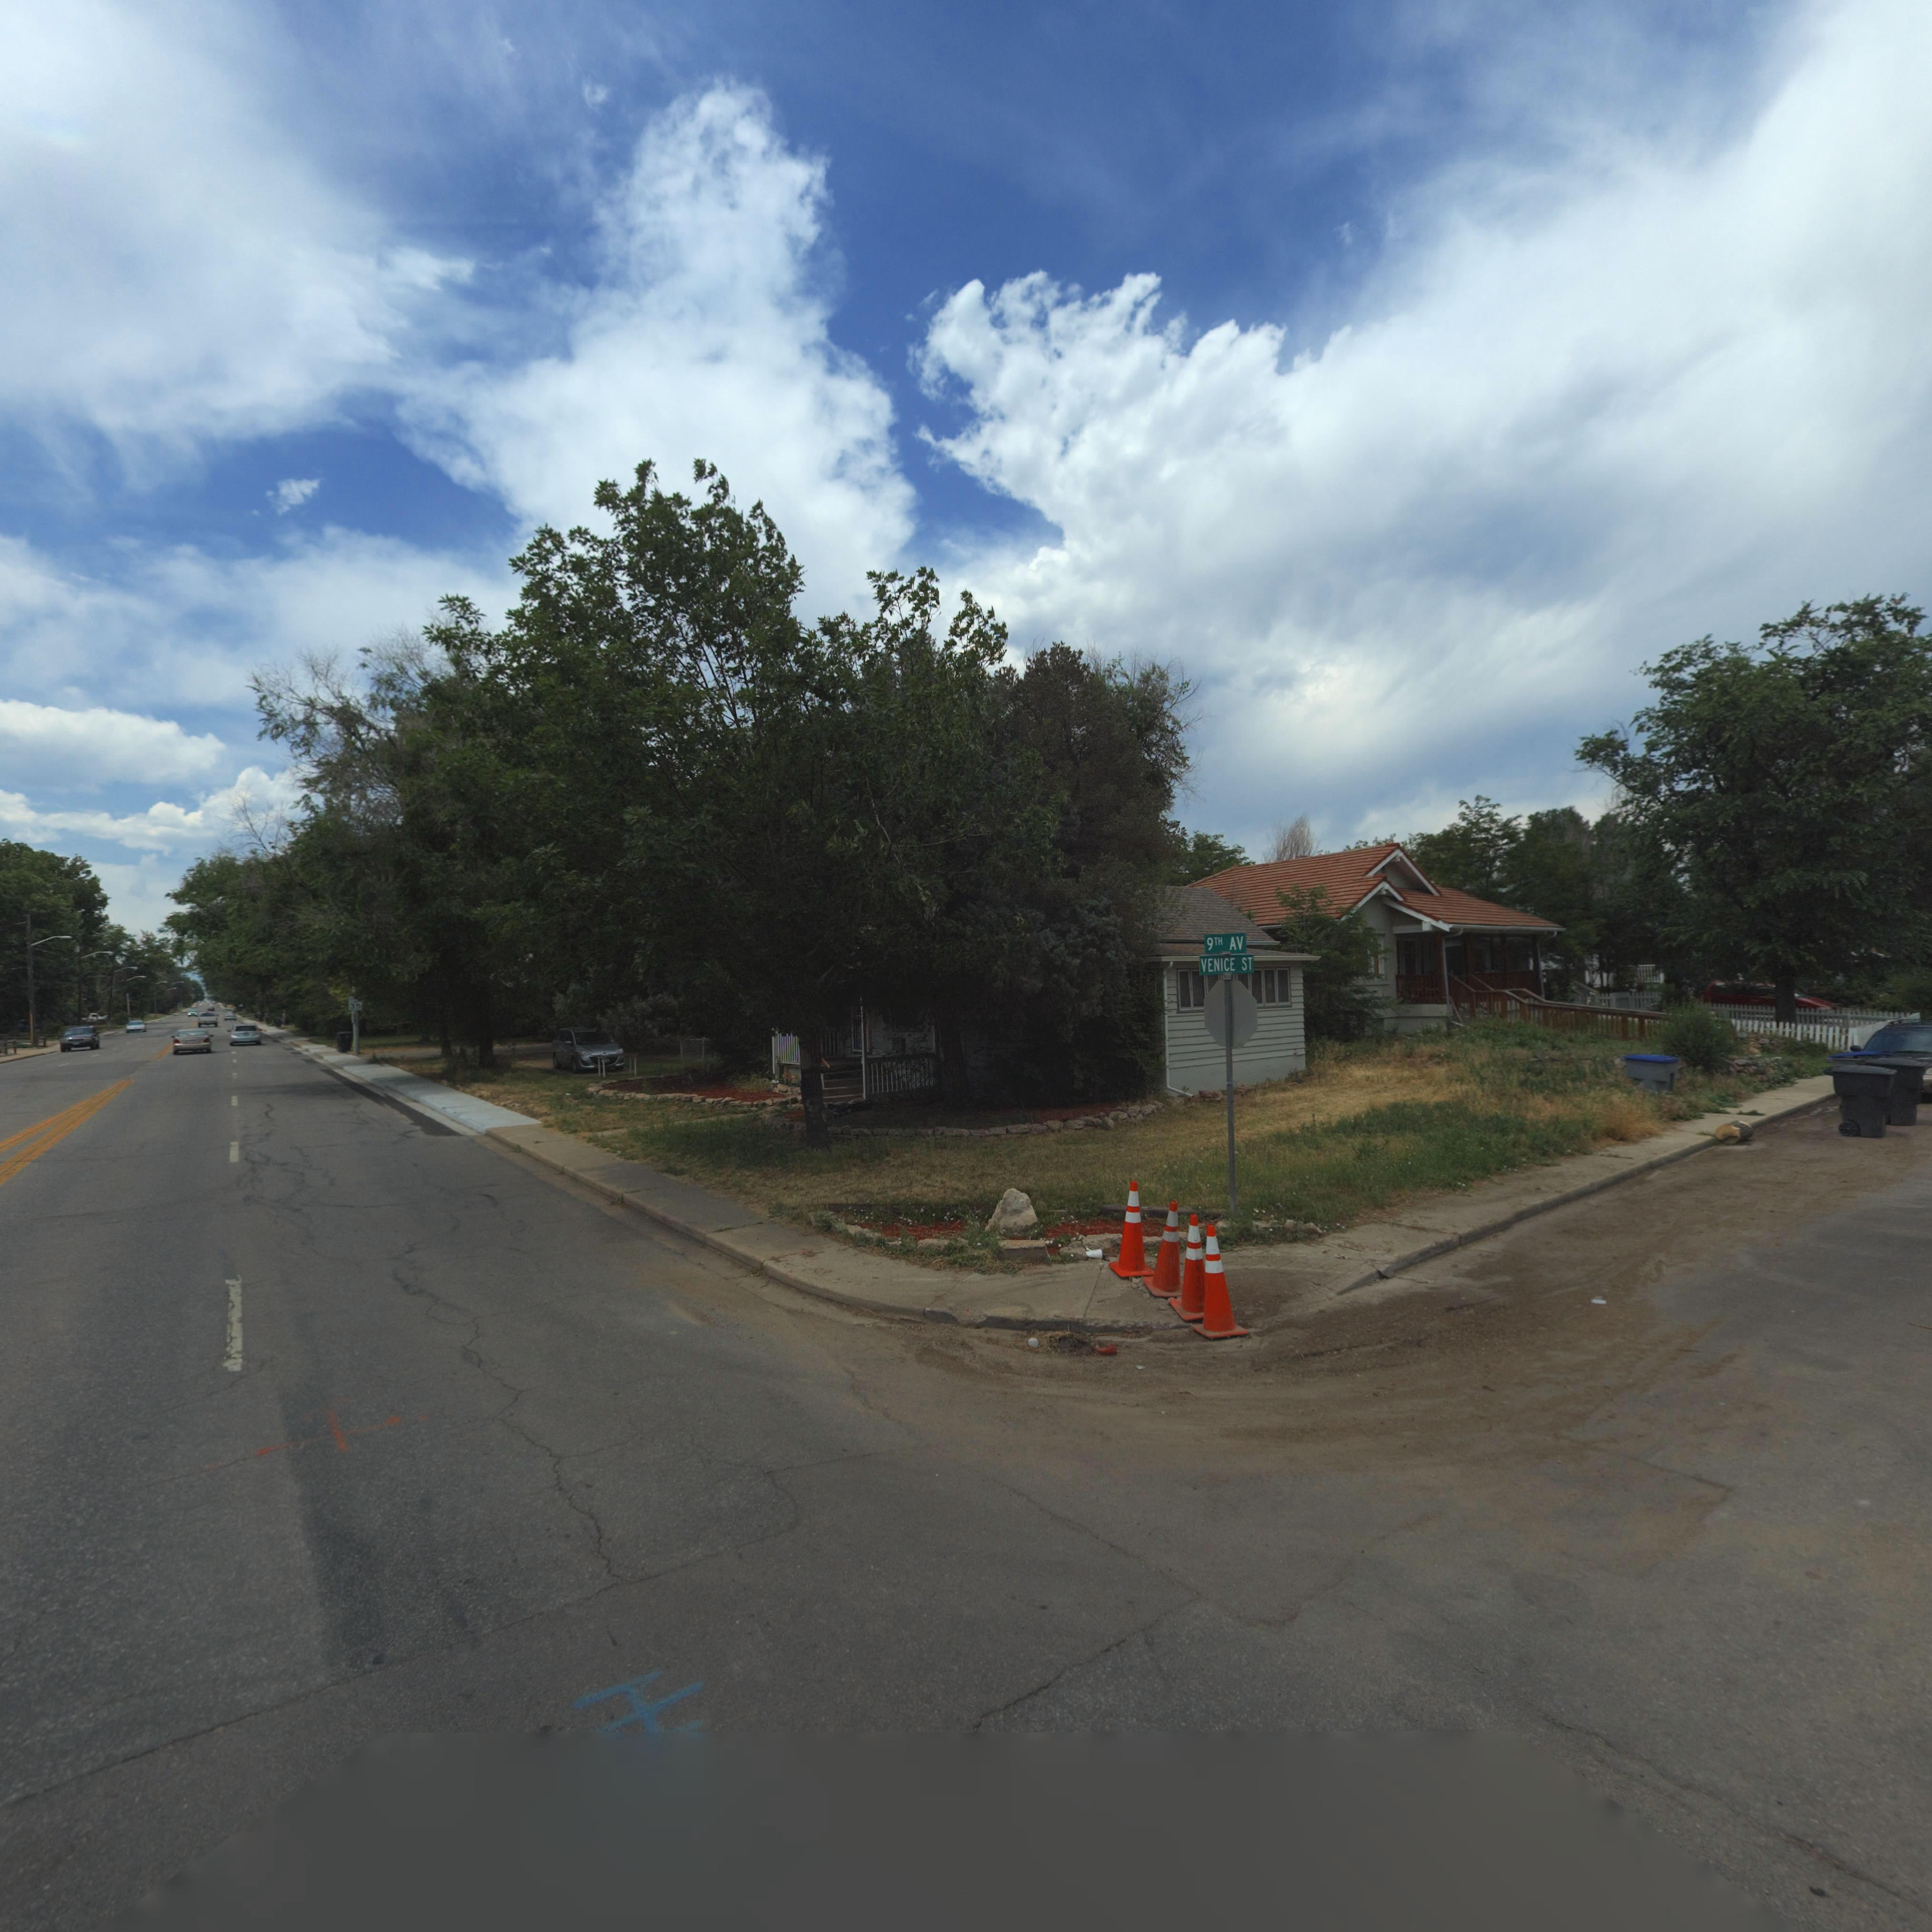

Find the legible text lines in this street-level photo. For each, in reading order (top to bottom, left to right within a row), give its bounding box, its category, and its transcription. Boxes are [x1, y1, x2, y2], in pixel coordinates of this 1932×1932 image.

[1207, 937, 1243, 950] StreetName: 9TH AV
[1200, 956, 1254, 973] StreetName: VENICE ST